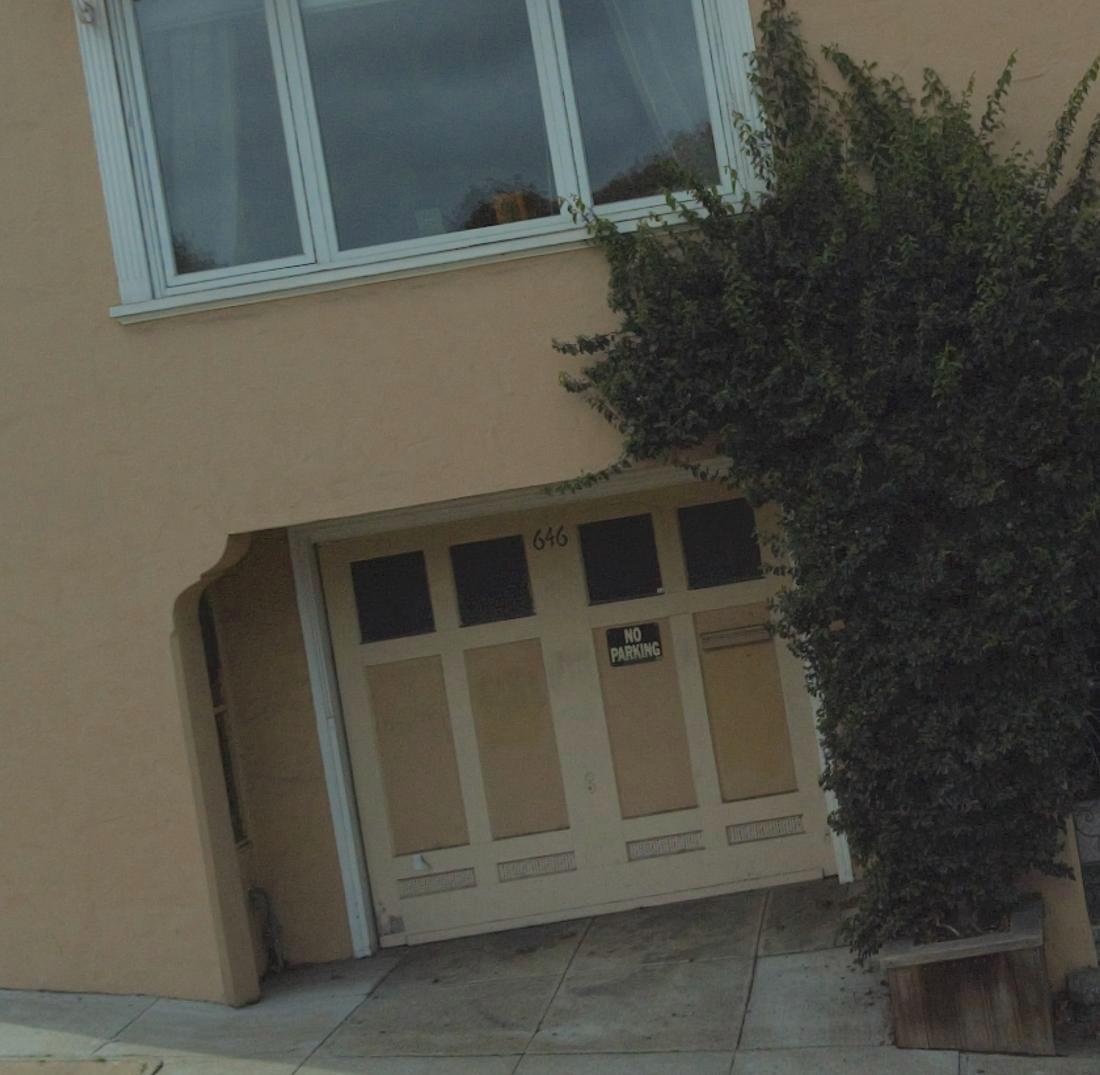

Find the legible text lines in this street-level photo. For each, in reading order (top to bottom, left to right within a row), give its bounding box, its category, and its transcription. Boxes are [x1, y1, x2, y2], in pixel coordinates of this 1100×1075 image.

[532, 523, 570, 552] StreetNumber: 646
[623, 626, 645, 644] None: NO
[609, 639, 662, 664] None: PARKING